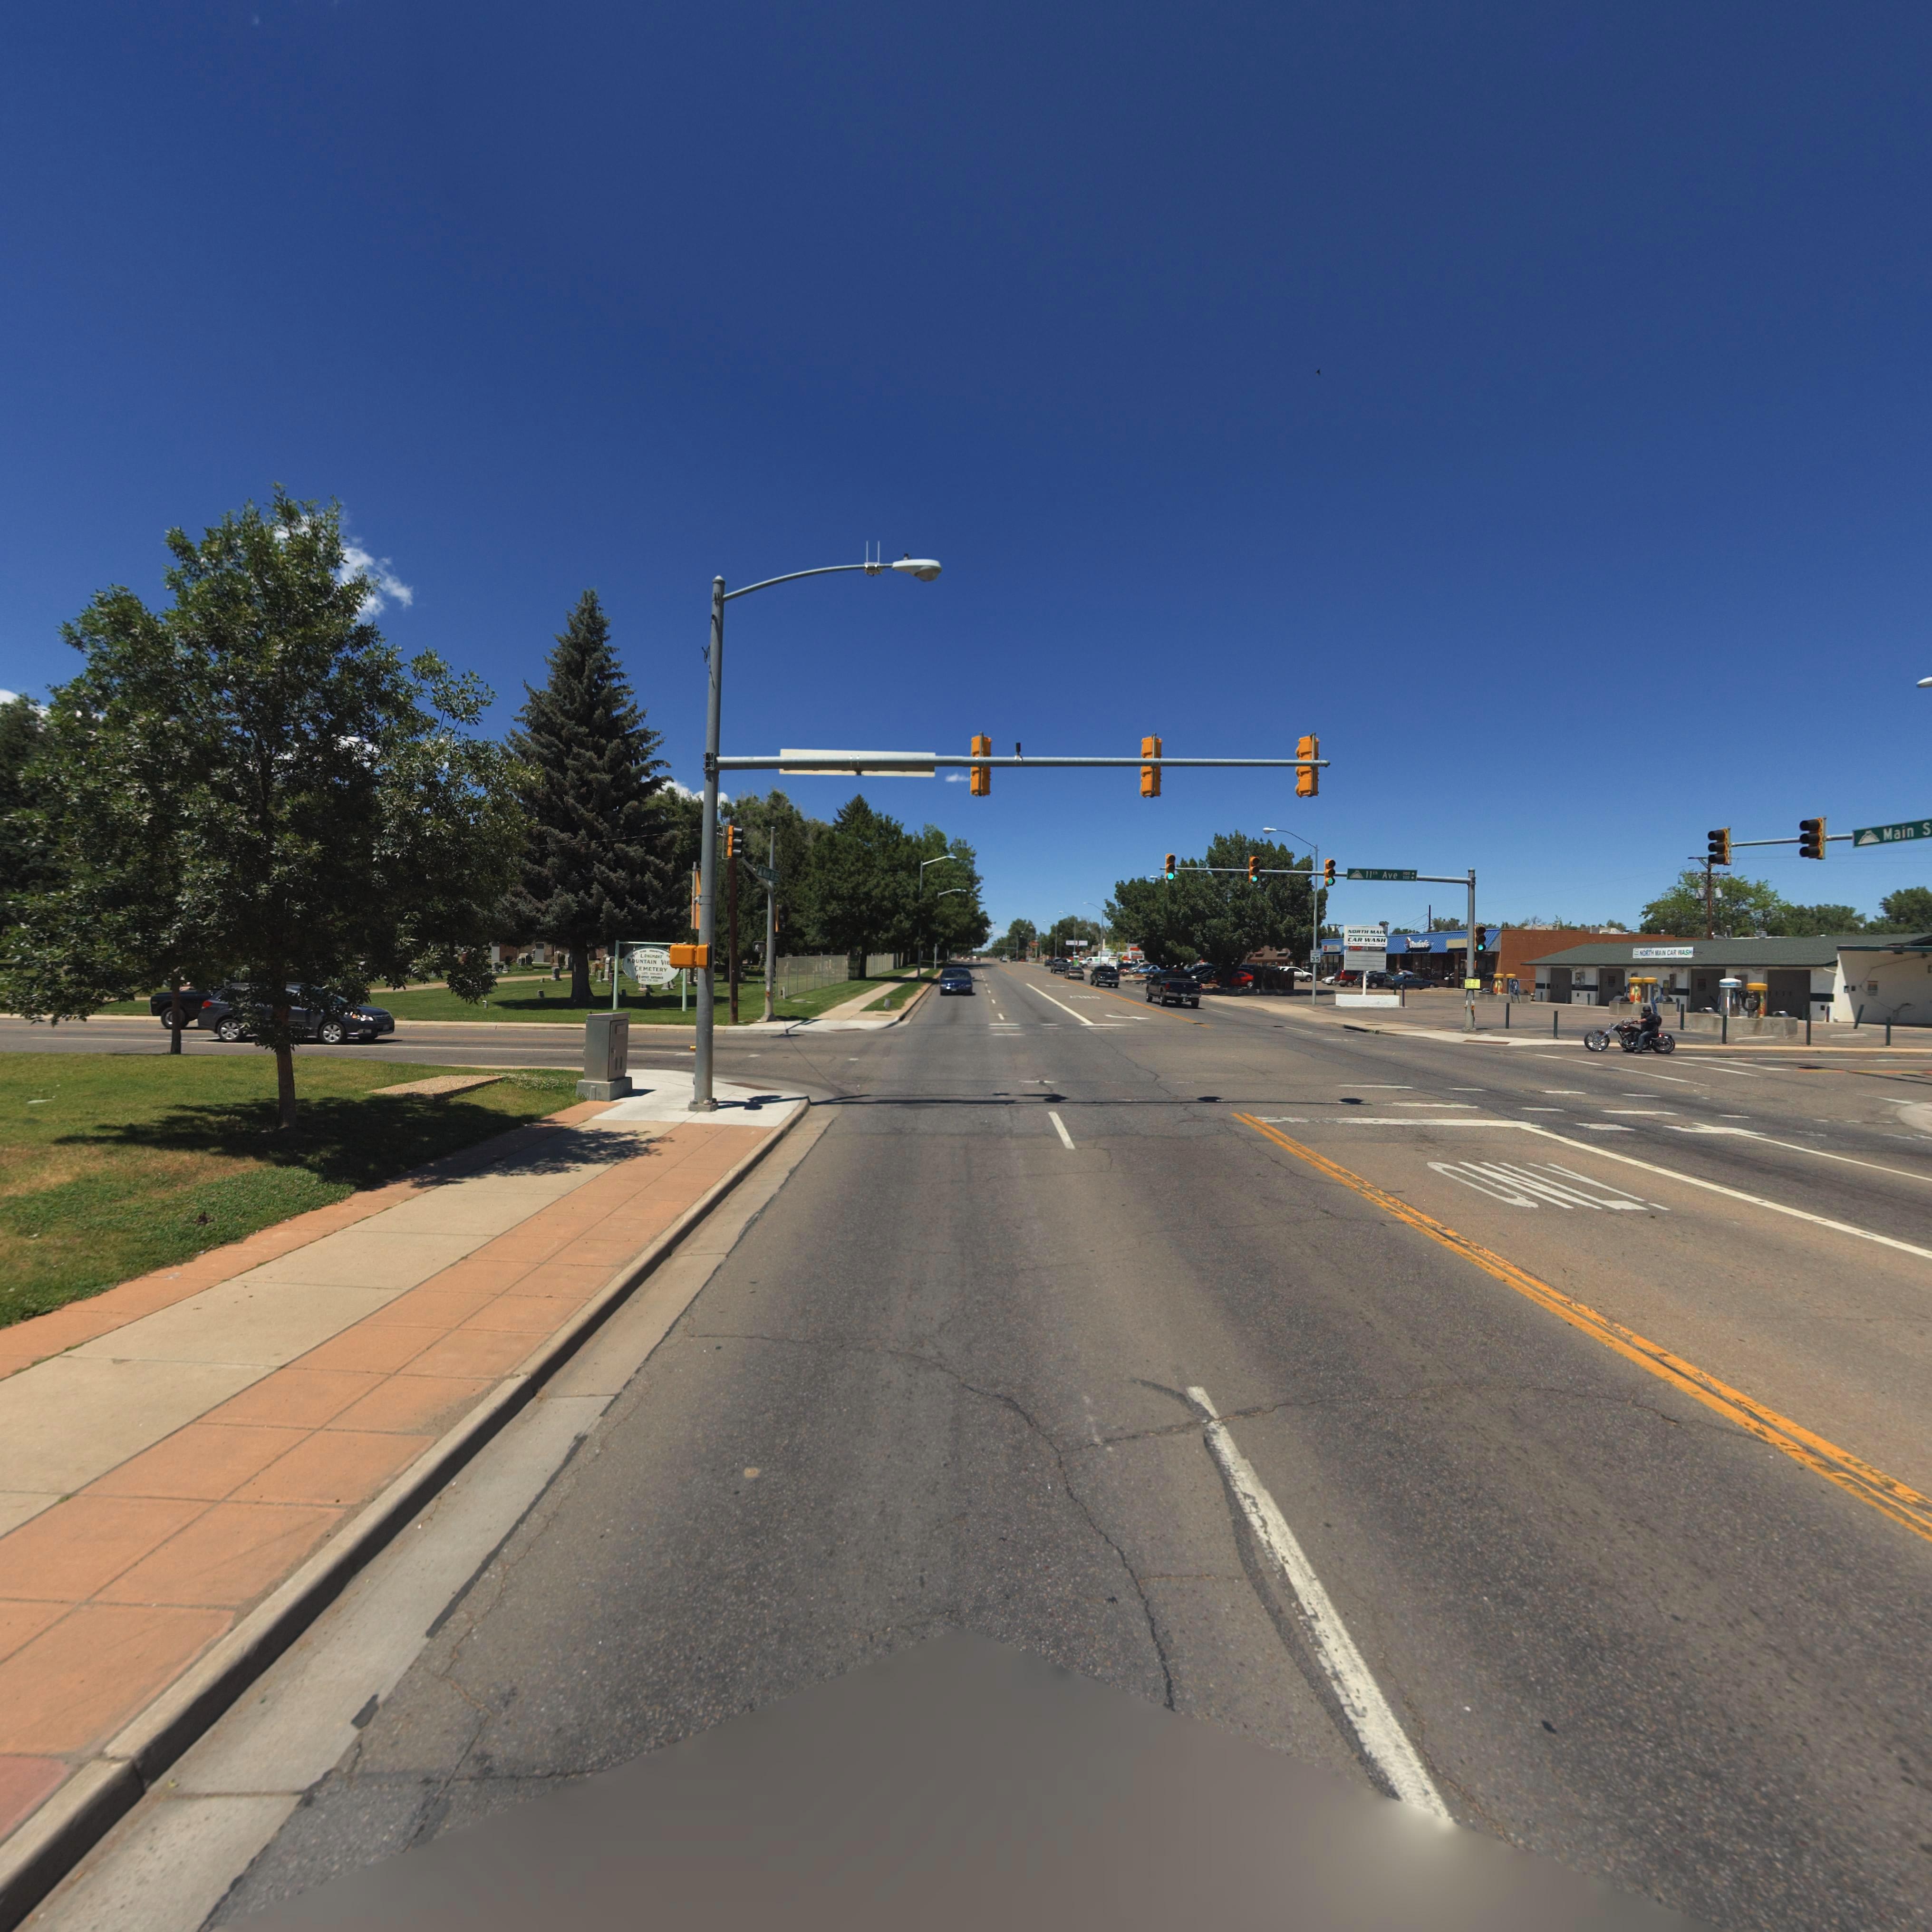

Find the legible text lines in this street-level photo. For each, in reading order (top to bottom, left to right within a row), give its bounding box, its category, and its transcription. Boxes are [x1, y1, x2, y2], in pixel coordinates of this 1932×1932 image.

[1883, 821, 1931, 841] StreetName: Main S
[762, 868, 774, 879] StreetName: Main St
[1365, 870, 1397, 879] StreetName: 11th Ave
[1402, 871, 1410, 875] StreetNumberRange: 500
[1402, 875, 1414, 879] StreetNumberRange: 1100
[1347, 929, 1386, 934] BusinessName: NORTH MAIN
[1347, 937, 1386, 942] BusinessName: CAR WASH
[1409, 939, 1430, 948] BusinessName: Domino's
[1639, 949, 1692, 956] BusinessName: NORTH MAIN CAR WASH
[640, 953, 663, 958] BusinessName: LONGMONT
[627, 957, 669, 965] BusinessName: MOUNTAIN VIE
[634, 965, 667, 972] BusinessName: CEMETERY